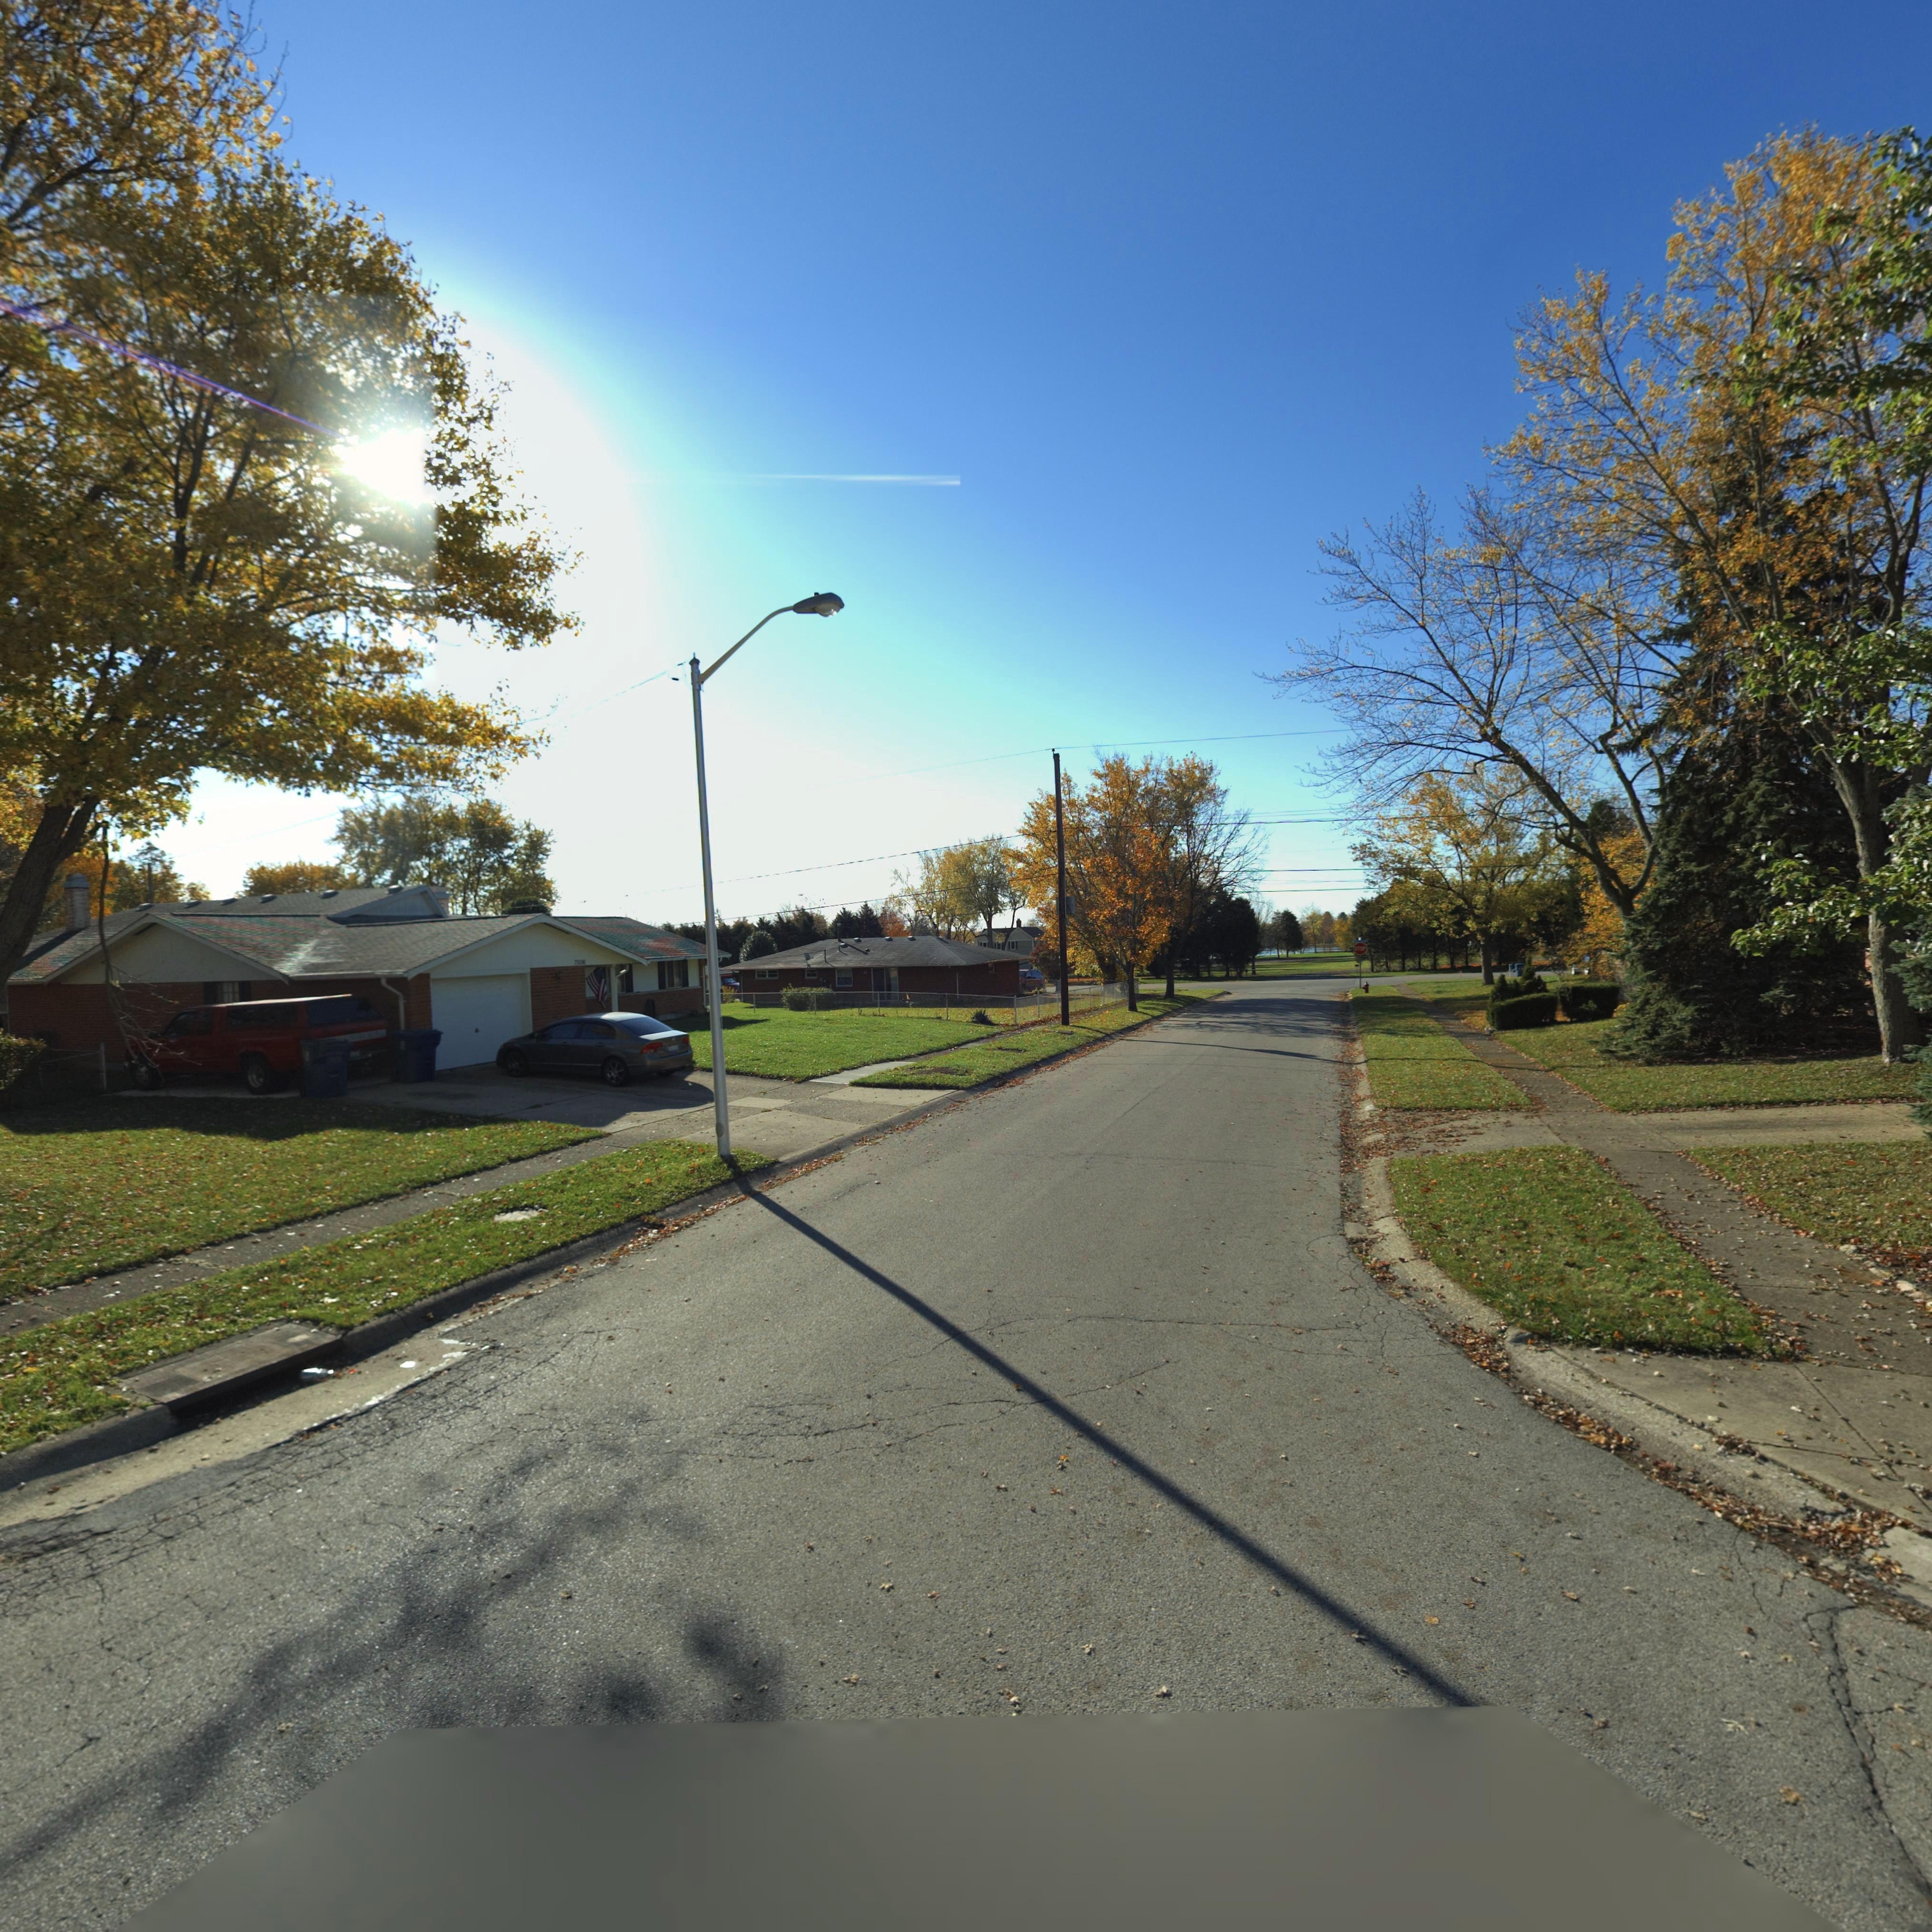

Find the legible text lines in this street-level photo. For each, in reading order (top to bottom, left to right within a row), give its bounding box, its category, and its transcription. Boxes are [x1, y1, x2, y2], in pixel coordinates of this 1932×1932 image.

[573, 958, 587, 966] StreetNumber: 7506